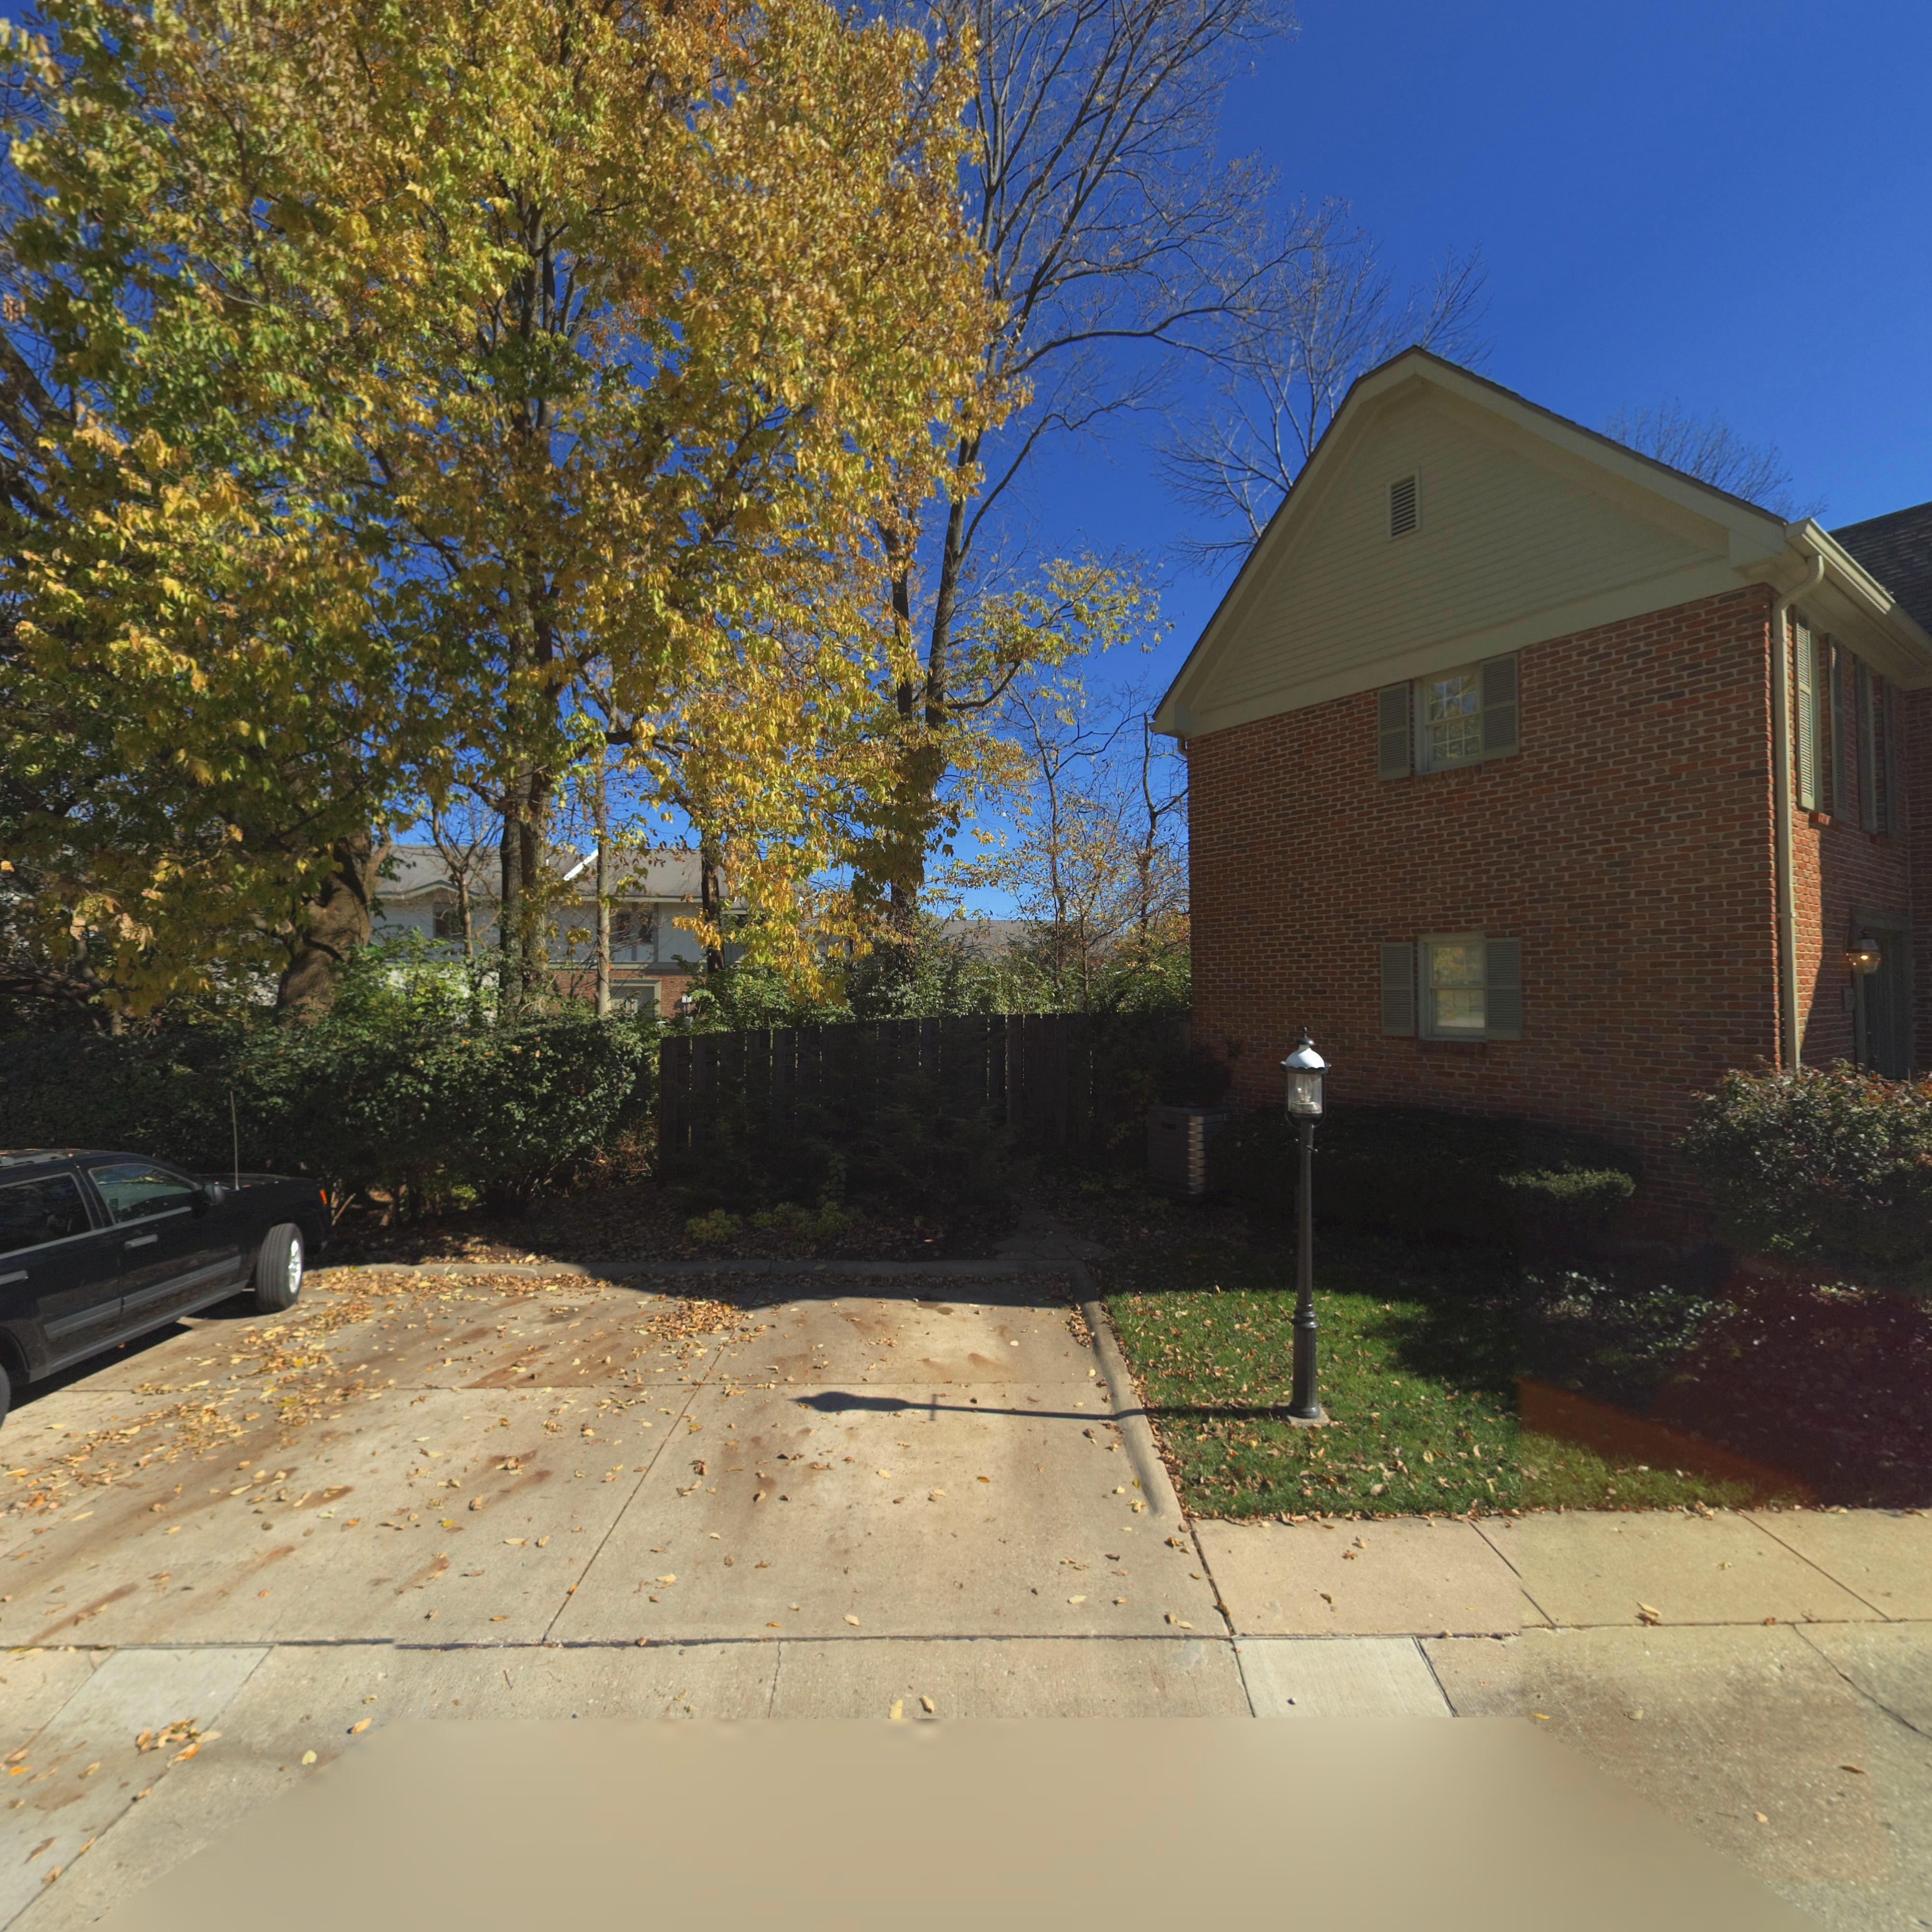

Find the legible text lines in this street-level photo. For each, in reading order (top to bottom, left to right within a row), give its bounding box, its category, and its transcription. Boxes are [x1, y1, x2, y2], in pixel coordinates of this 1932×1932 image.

[1847, 994, 1855, 1006] StreetNumber: 3*